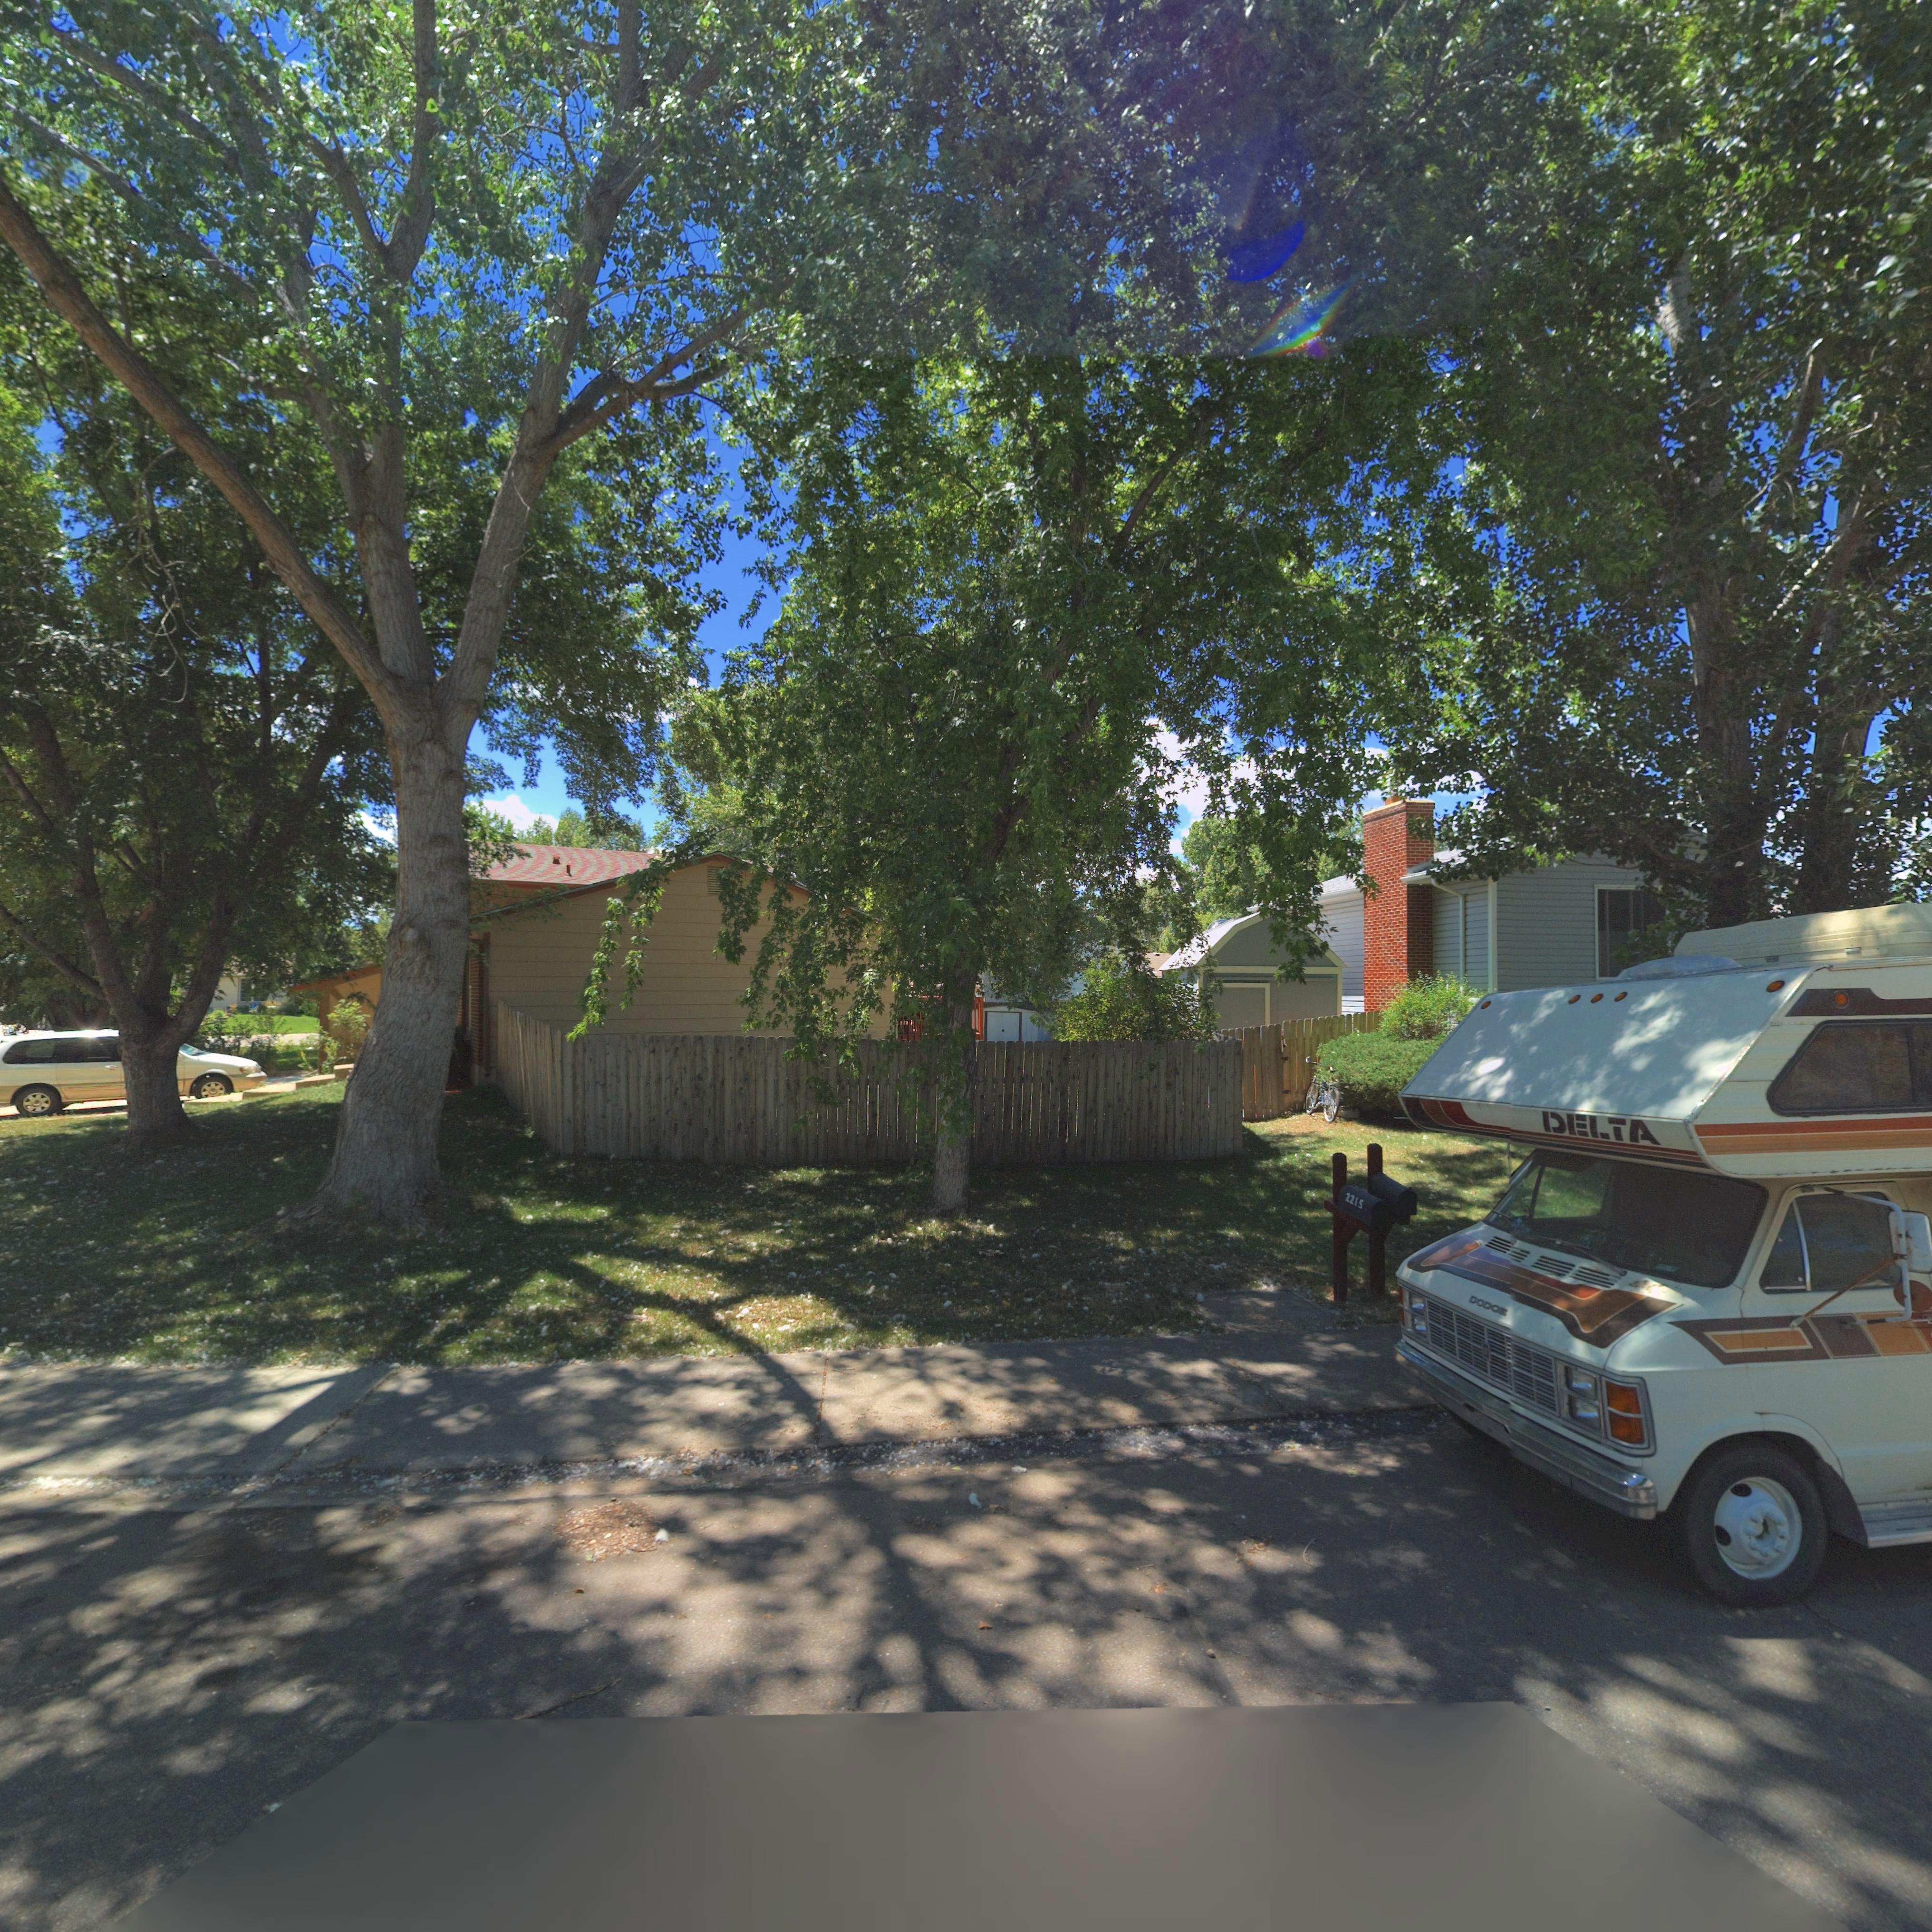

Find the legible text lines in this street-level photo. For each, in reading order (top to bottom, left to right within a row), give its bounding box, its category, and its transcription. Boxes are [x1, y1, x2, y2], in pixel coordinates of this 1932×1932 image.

[1344, 1192, 1363, 1209] StreetNumber: 2215